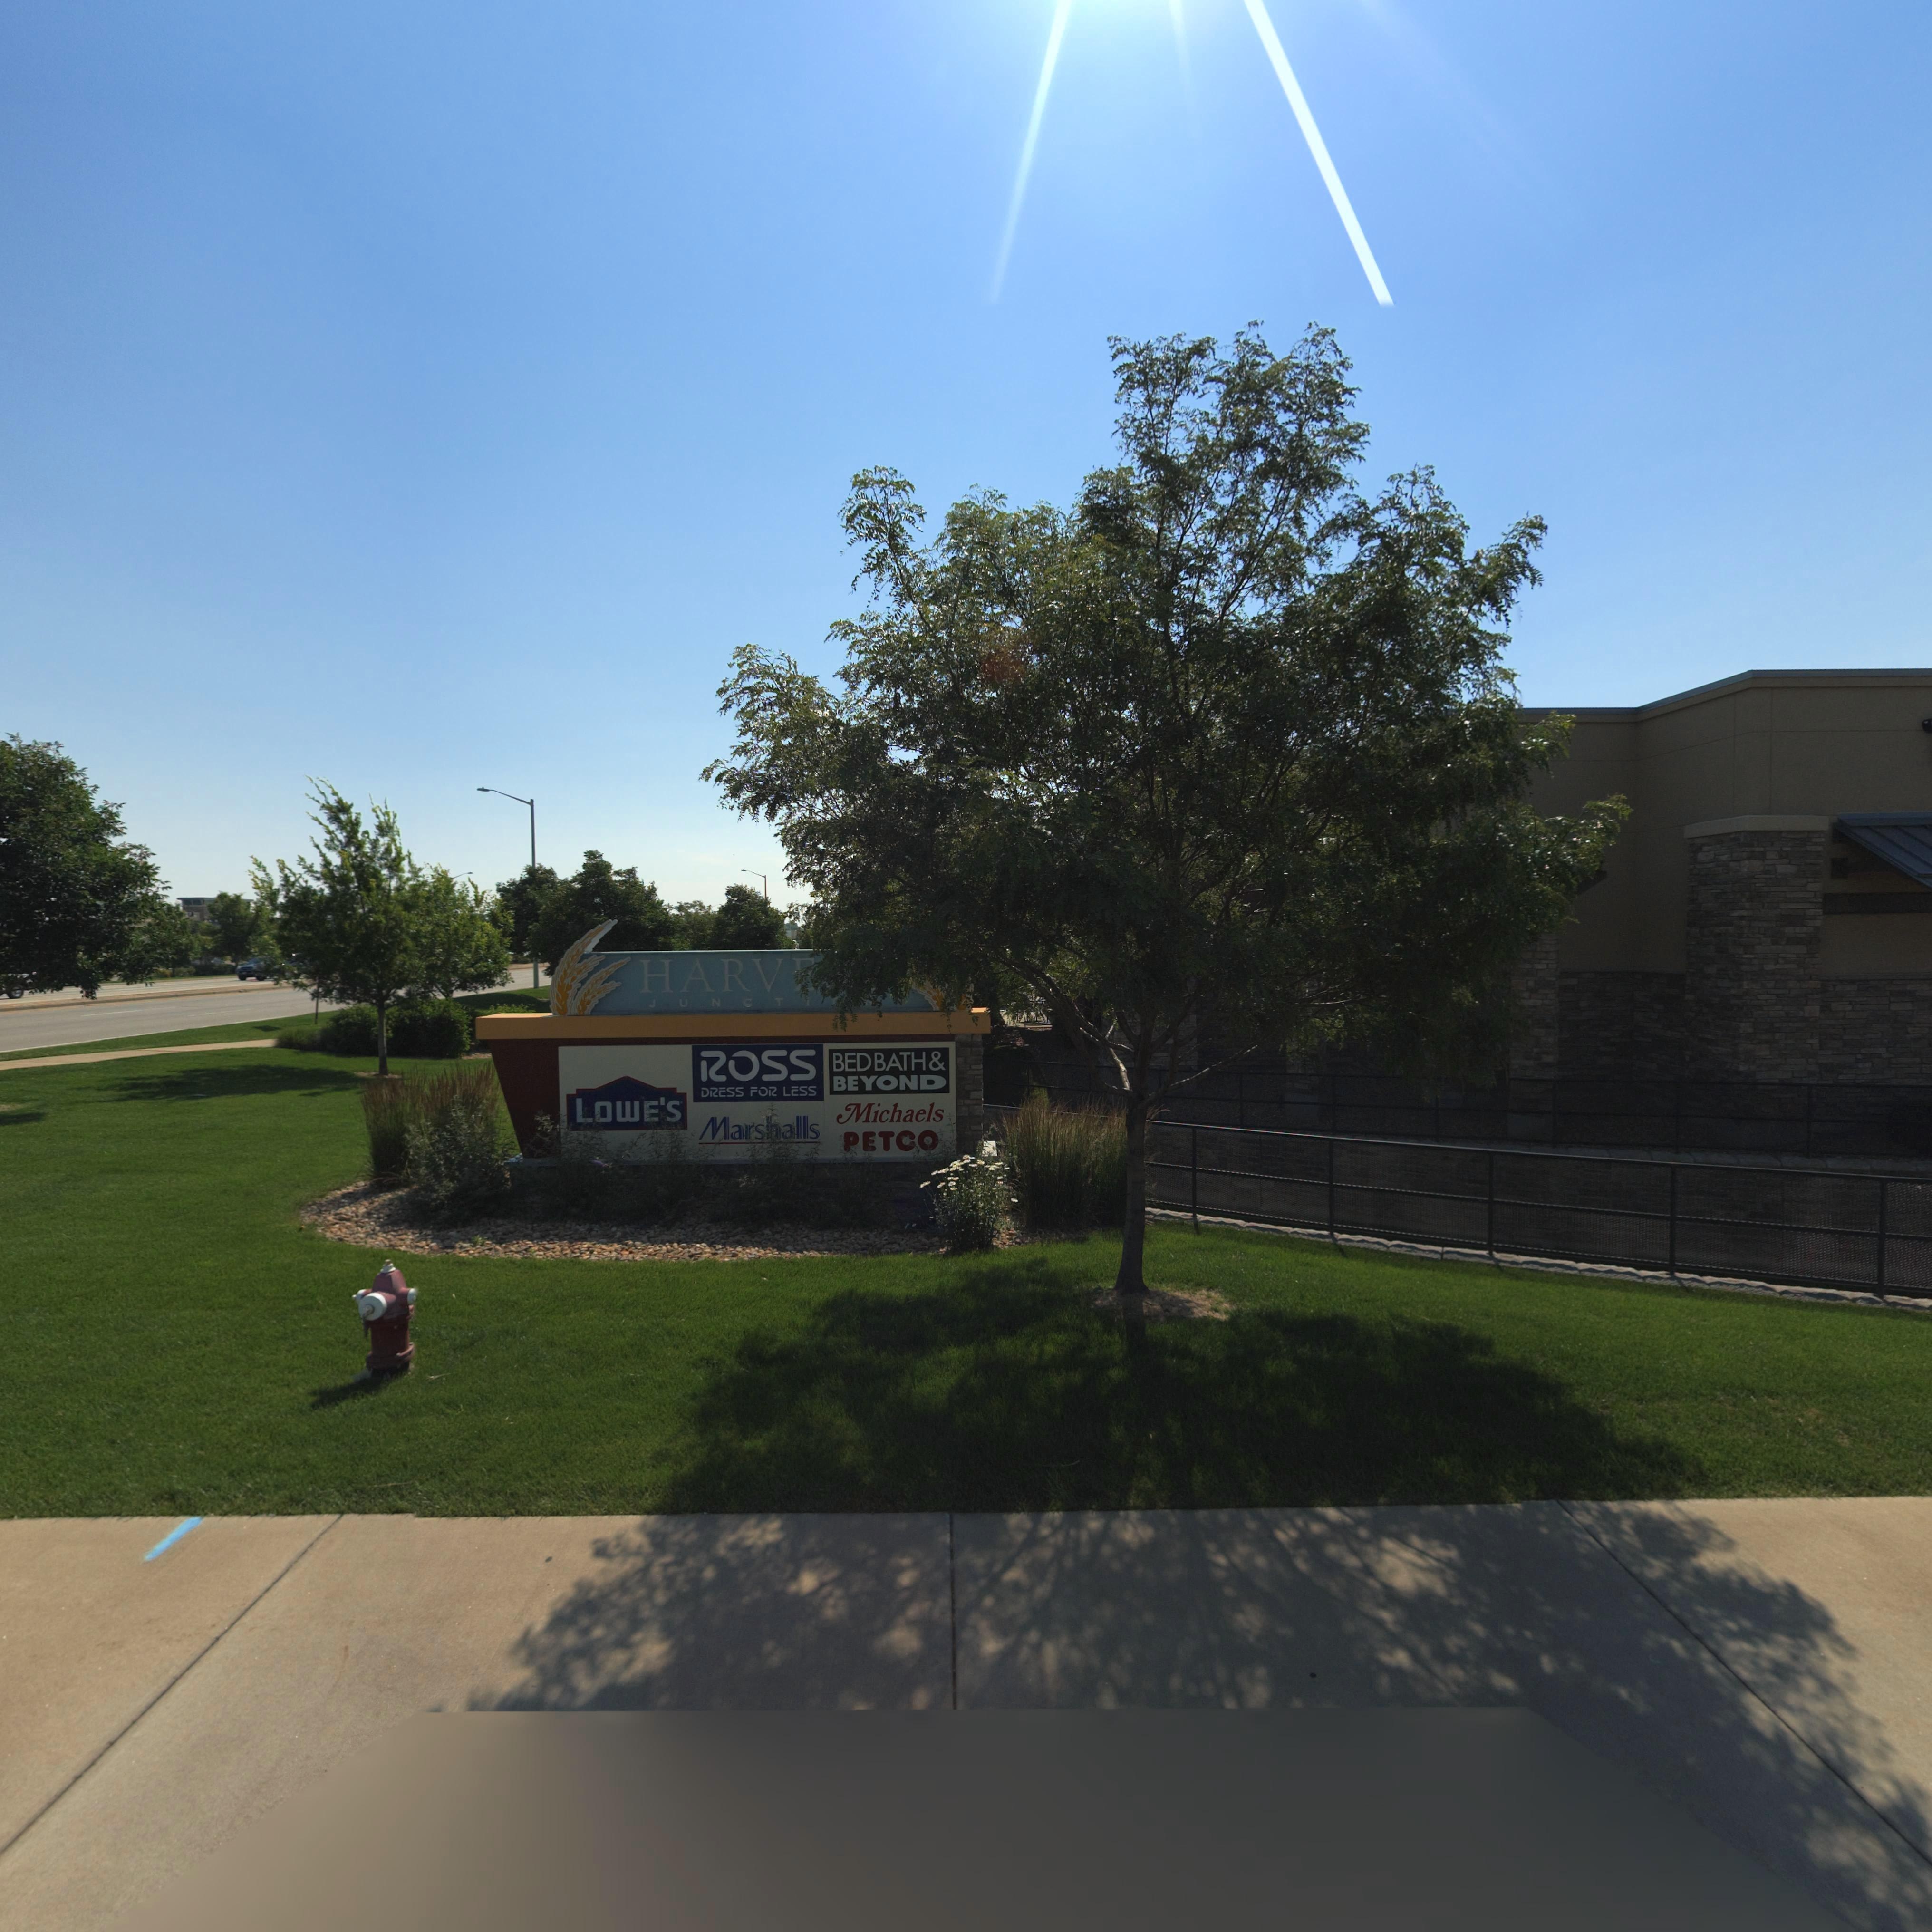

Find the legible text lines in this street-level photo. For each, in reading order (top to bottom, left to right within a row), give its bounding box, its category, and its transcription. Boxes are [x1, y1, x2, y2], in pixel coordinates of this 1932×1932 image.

[700, 1049, 816, 1082] BusinessName: ROSS
[832, 1051, 945, 1072] BusinessName: BED BATH &
[833, 1074, 947, 1091] BusinessName: BEYOND
[575, 1097, 682, 1123] BusinessName: LOWE'S
[836, 1102, 944, 1125] BusinessName: Michaels
[698, 1115, 820, 1140] BusinessName: Marshalls
[843, 1129, 939, 1152] BusinessName: PETCO